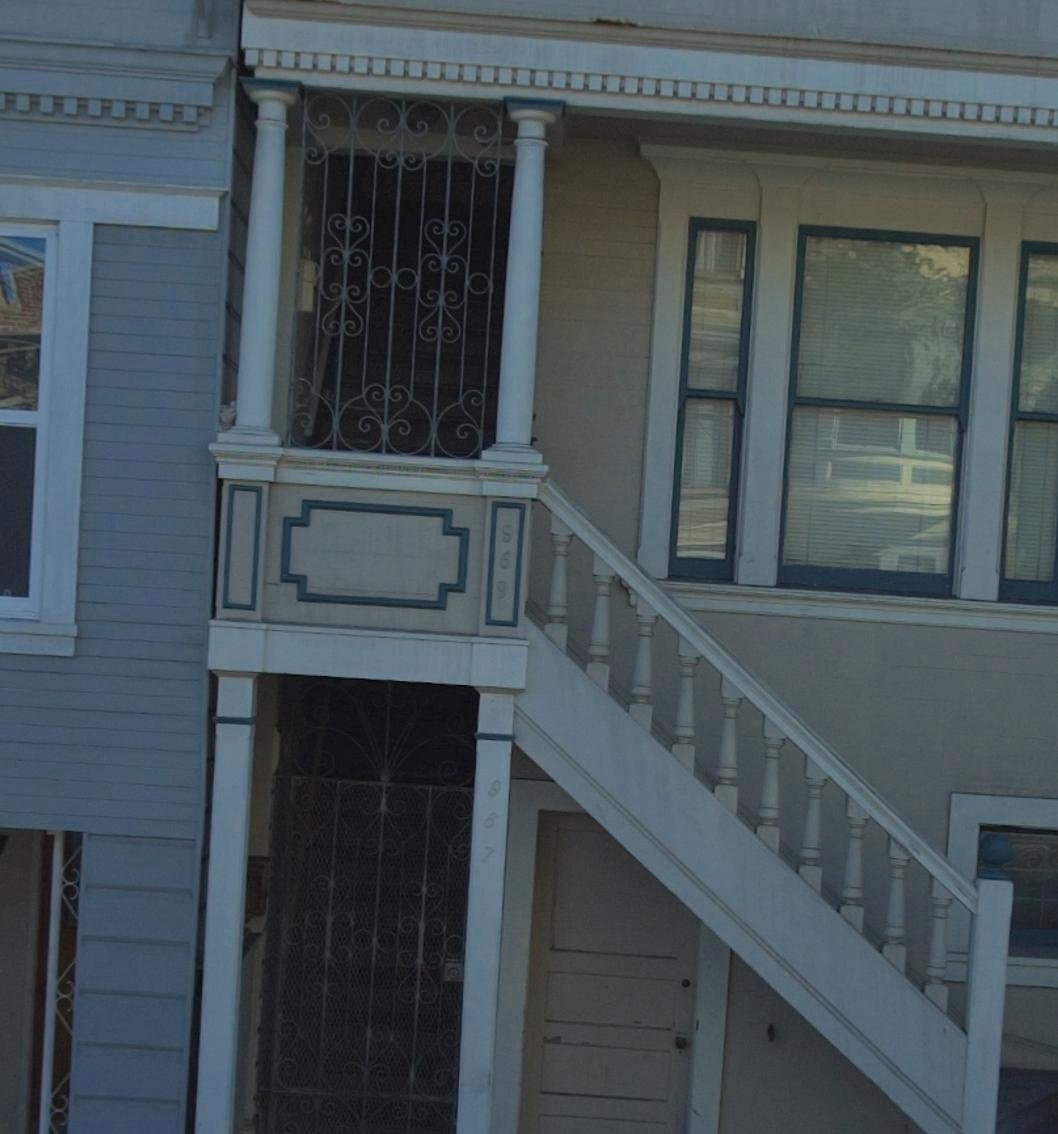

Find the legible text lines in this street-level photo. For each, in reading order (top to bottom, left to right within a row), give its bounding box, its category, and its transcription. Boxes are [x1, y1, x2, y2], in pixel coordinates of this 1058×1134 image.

[494, 523, 516, 602] StreetNumber: 969
[478, 779, 505, 865] StreetNumber: 967